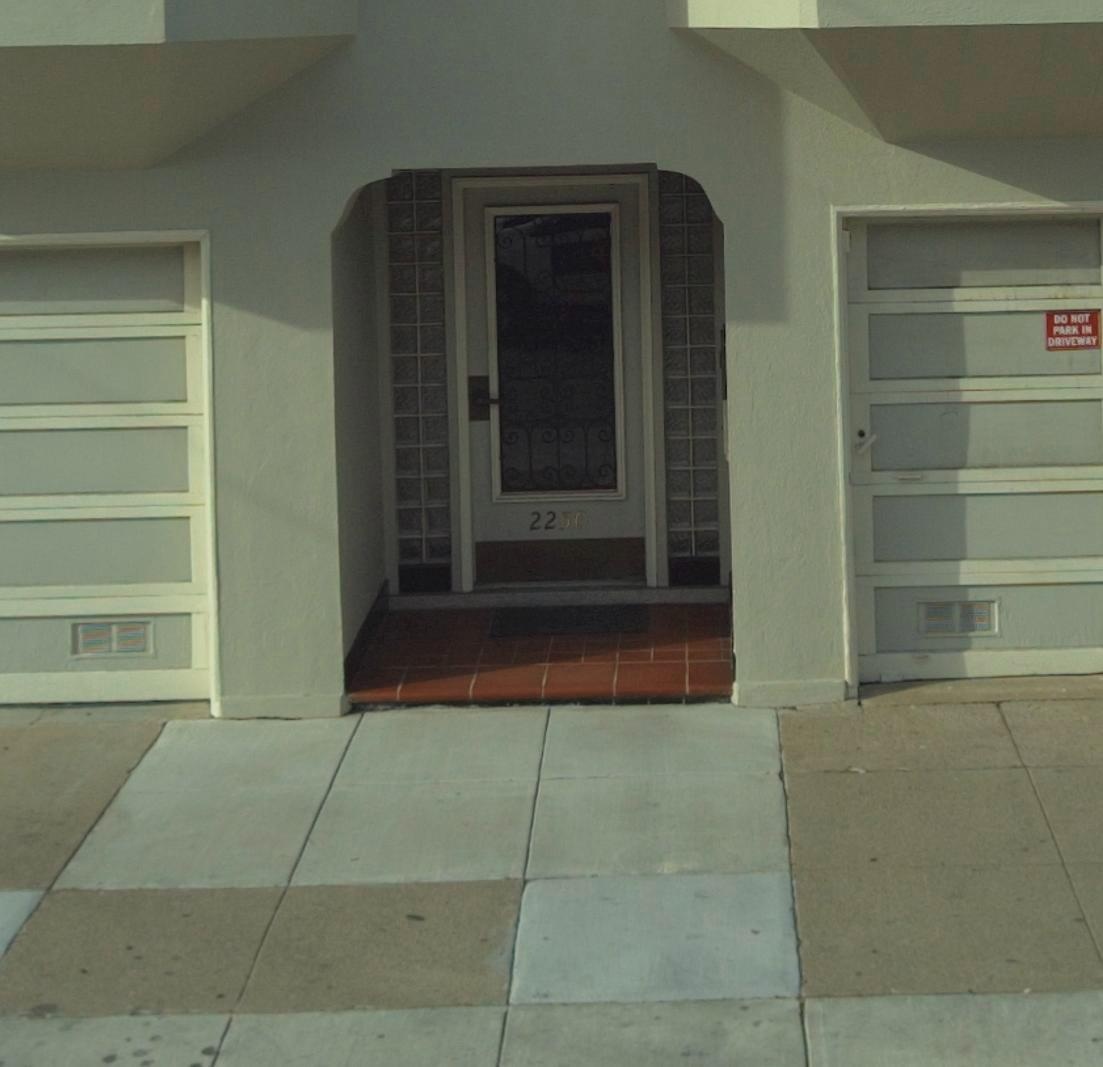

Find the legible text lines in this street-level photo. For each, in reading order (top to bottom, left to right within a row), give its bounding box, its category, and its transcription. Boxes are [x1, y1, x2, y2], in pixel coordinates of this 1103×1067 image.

[1052, 312, 1092, 325] None: DO NOT
[1050, 323, 1094, 336] None: PARK IN
[1046, 334, 1099, 349] None: DRIVEWAY
[527, 507, 589, 533] StreetNumber: 2250